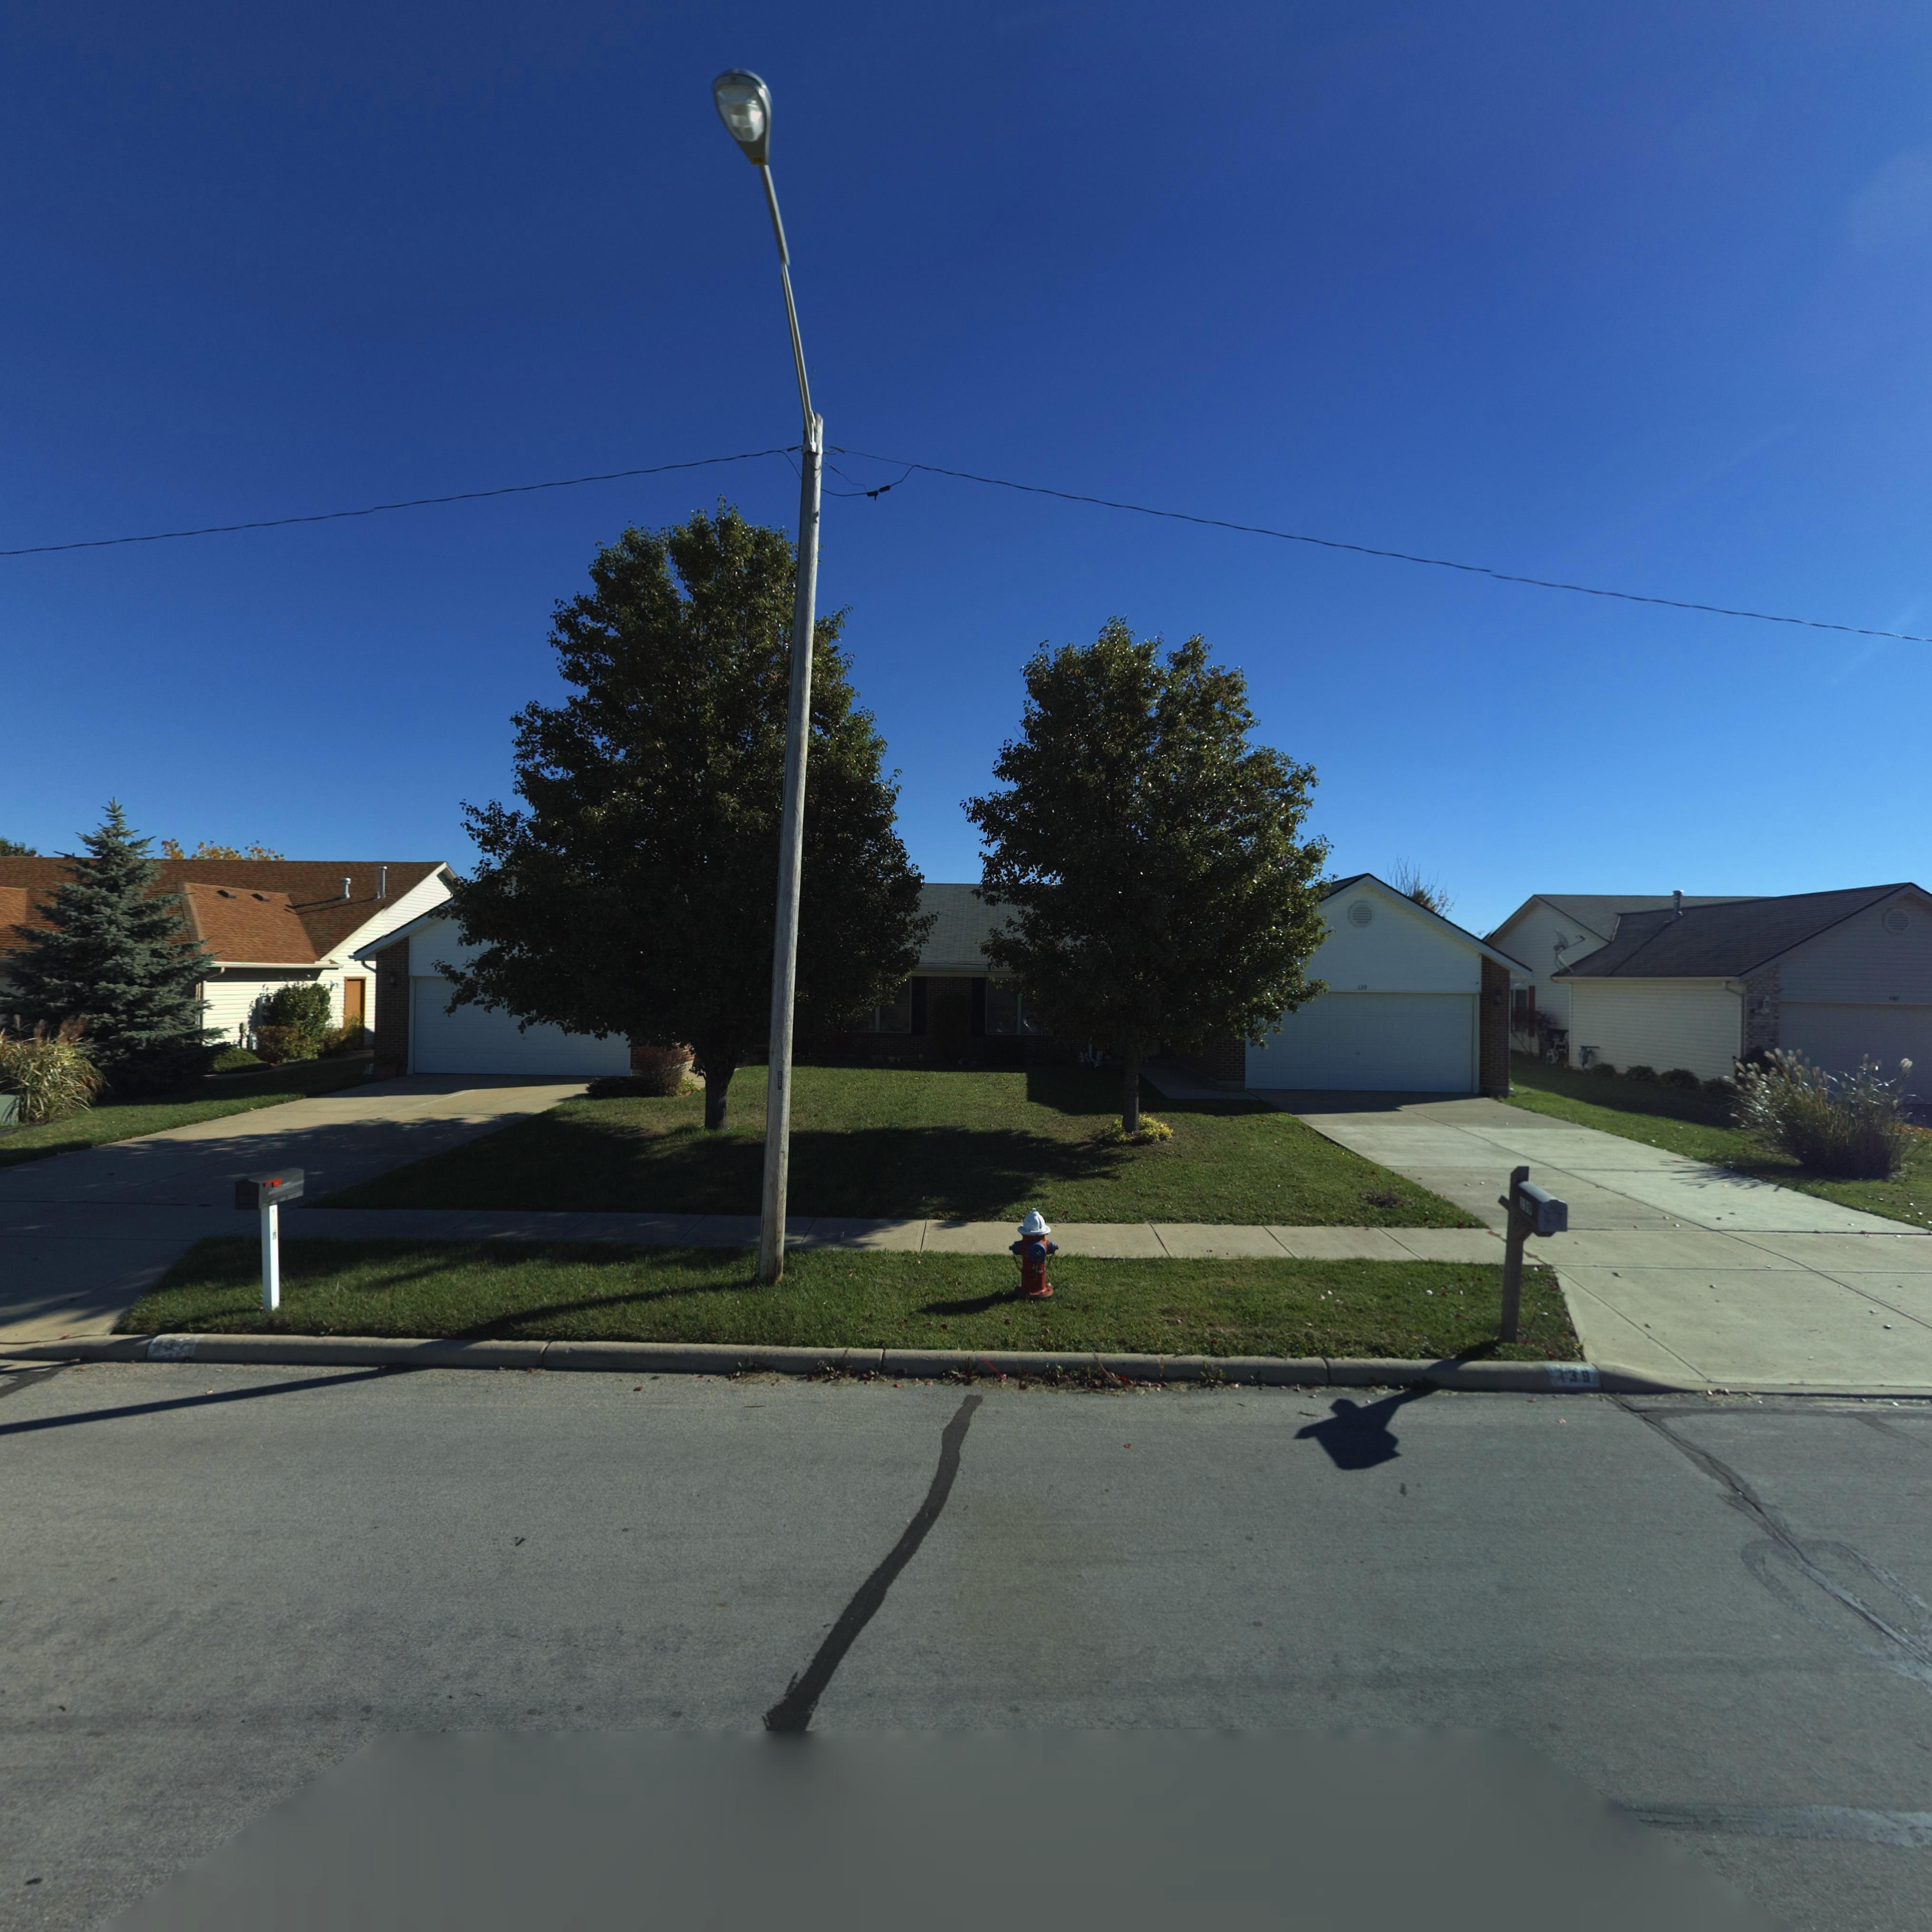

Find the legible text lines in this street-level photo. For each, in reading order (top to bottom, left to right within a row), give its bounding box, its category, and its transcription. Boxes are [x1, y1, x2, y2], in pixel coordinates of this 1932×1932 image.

[1357, 984, 1368, 991] StreetNumber: 139
[1520, 1196, 1532, 1216] StreetNumber: 139
[271, 1207, 278, 1242] StreetNumber: 1**
[1556, 1368, 1592, 1384] StreetNumber: 139